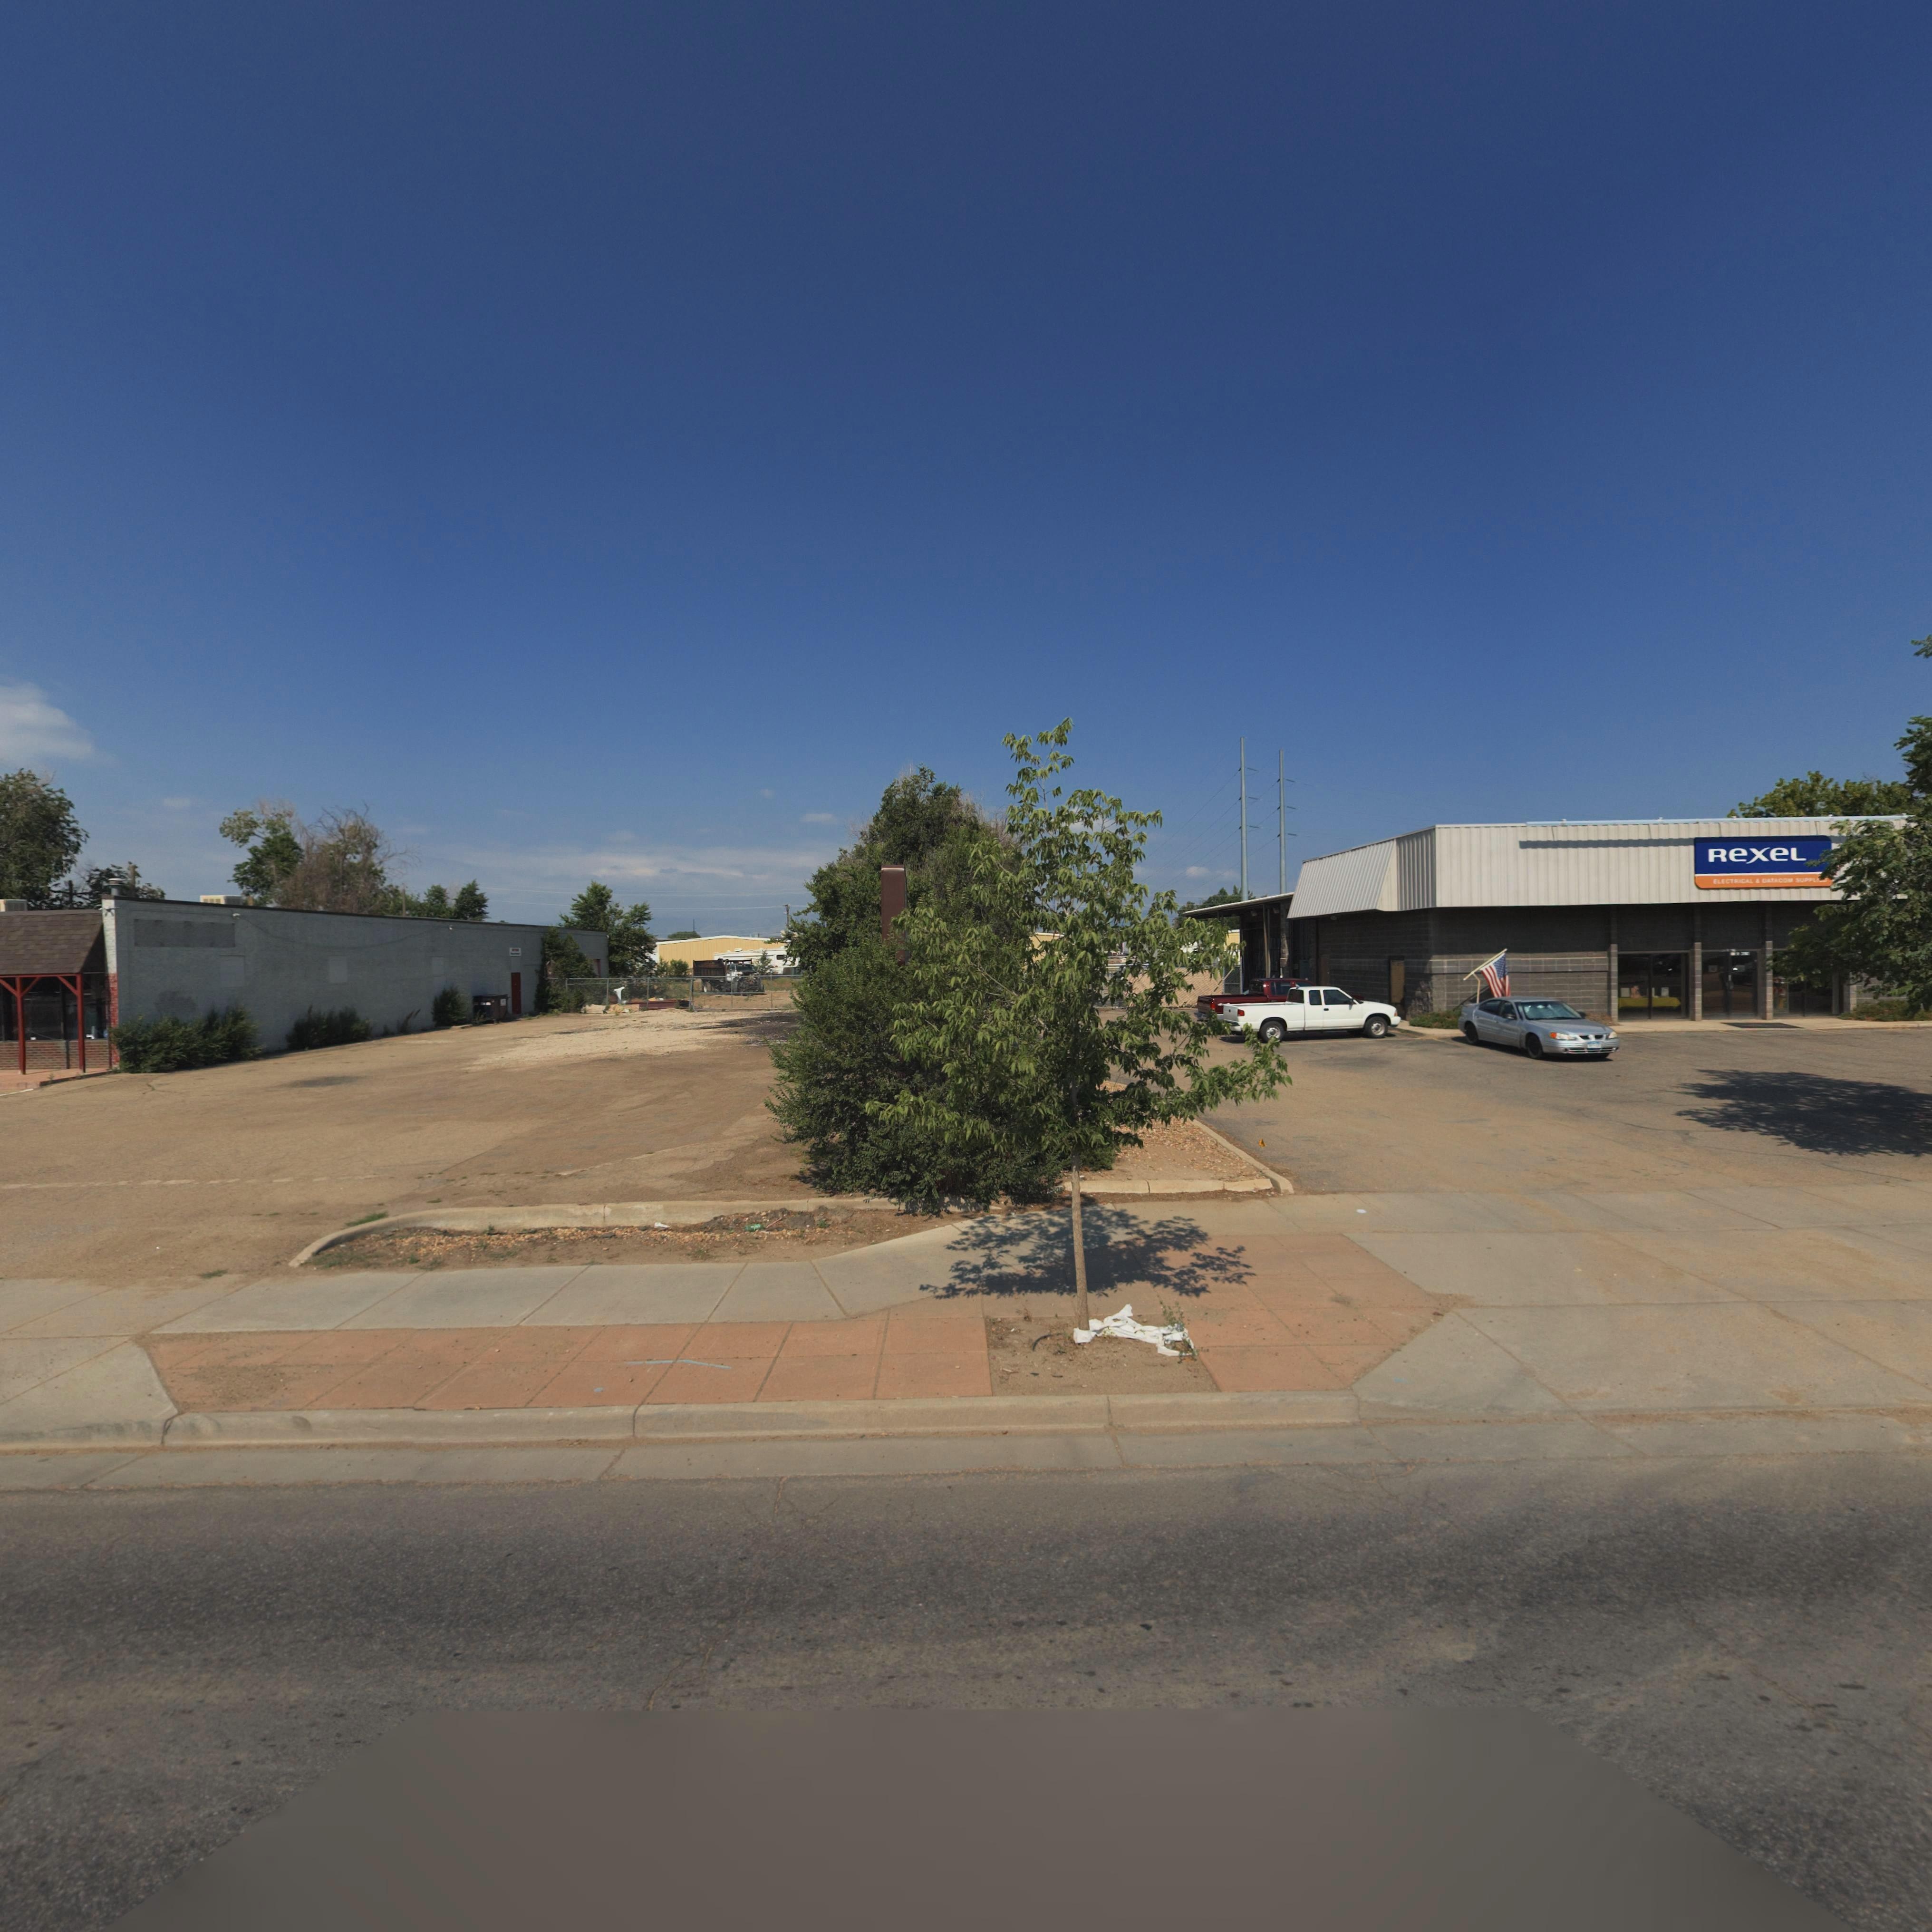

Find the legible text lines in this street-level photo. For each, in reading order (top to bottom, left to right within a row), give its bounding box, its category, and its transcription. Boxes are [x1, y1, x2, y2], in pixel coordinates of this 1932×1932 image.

[1708, 847, 1807, 864] BusinessName: RexeL